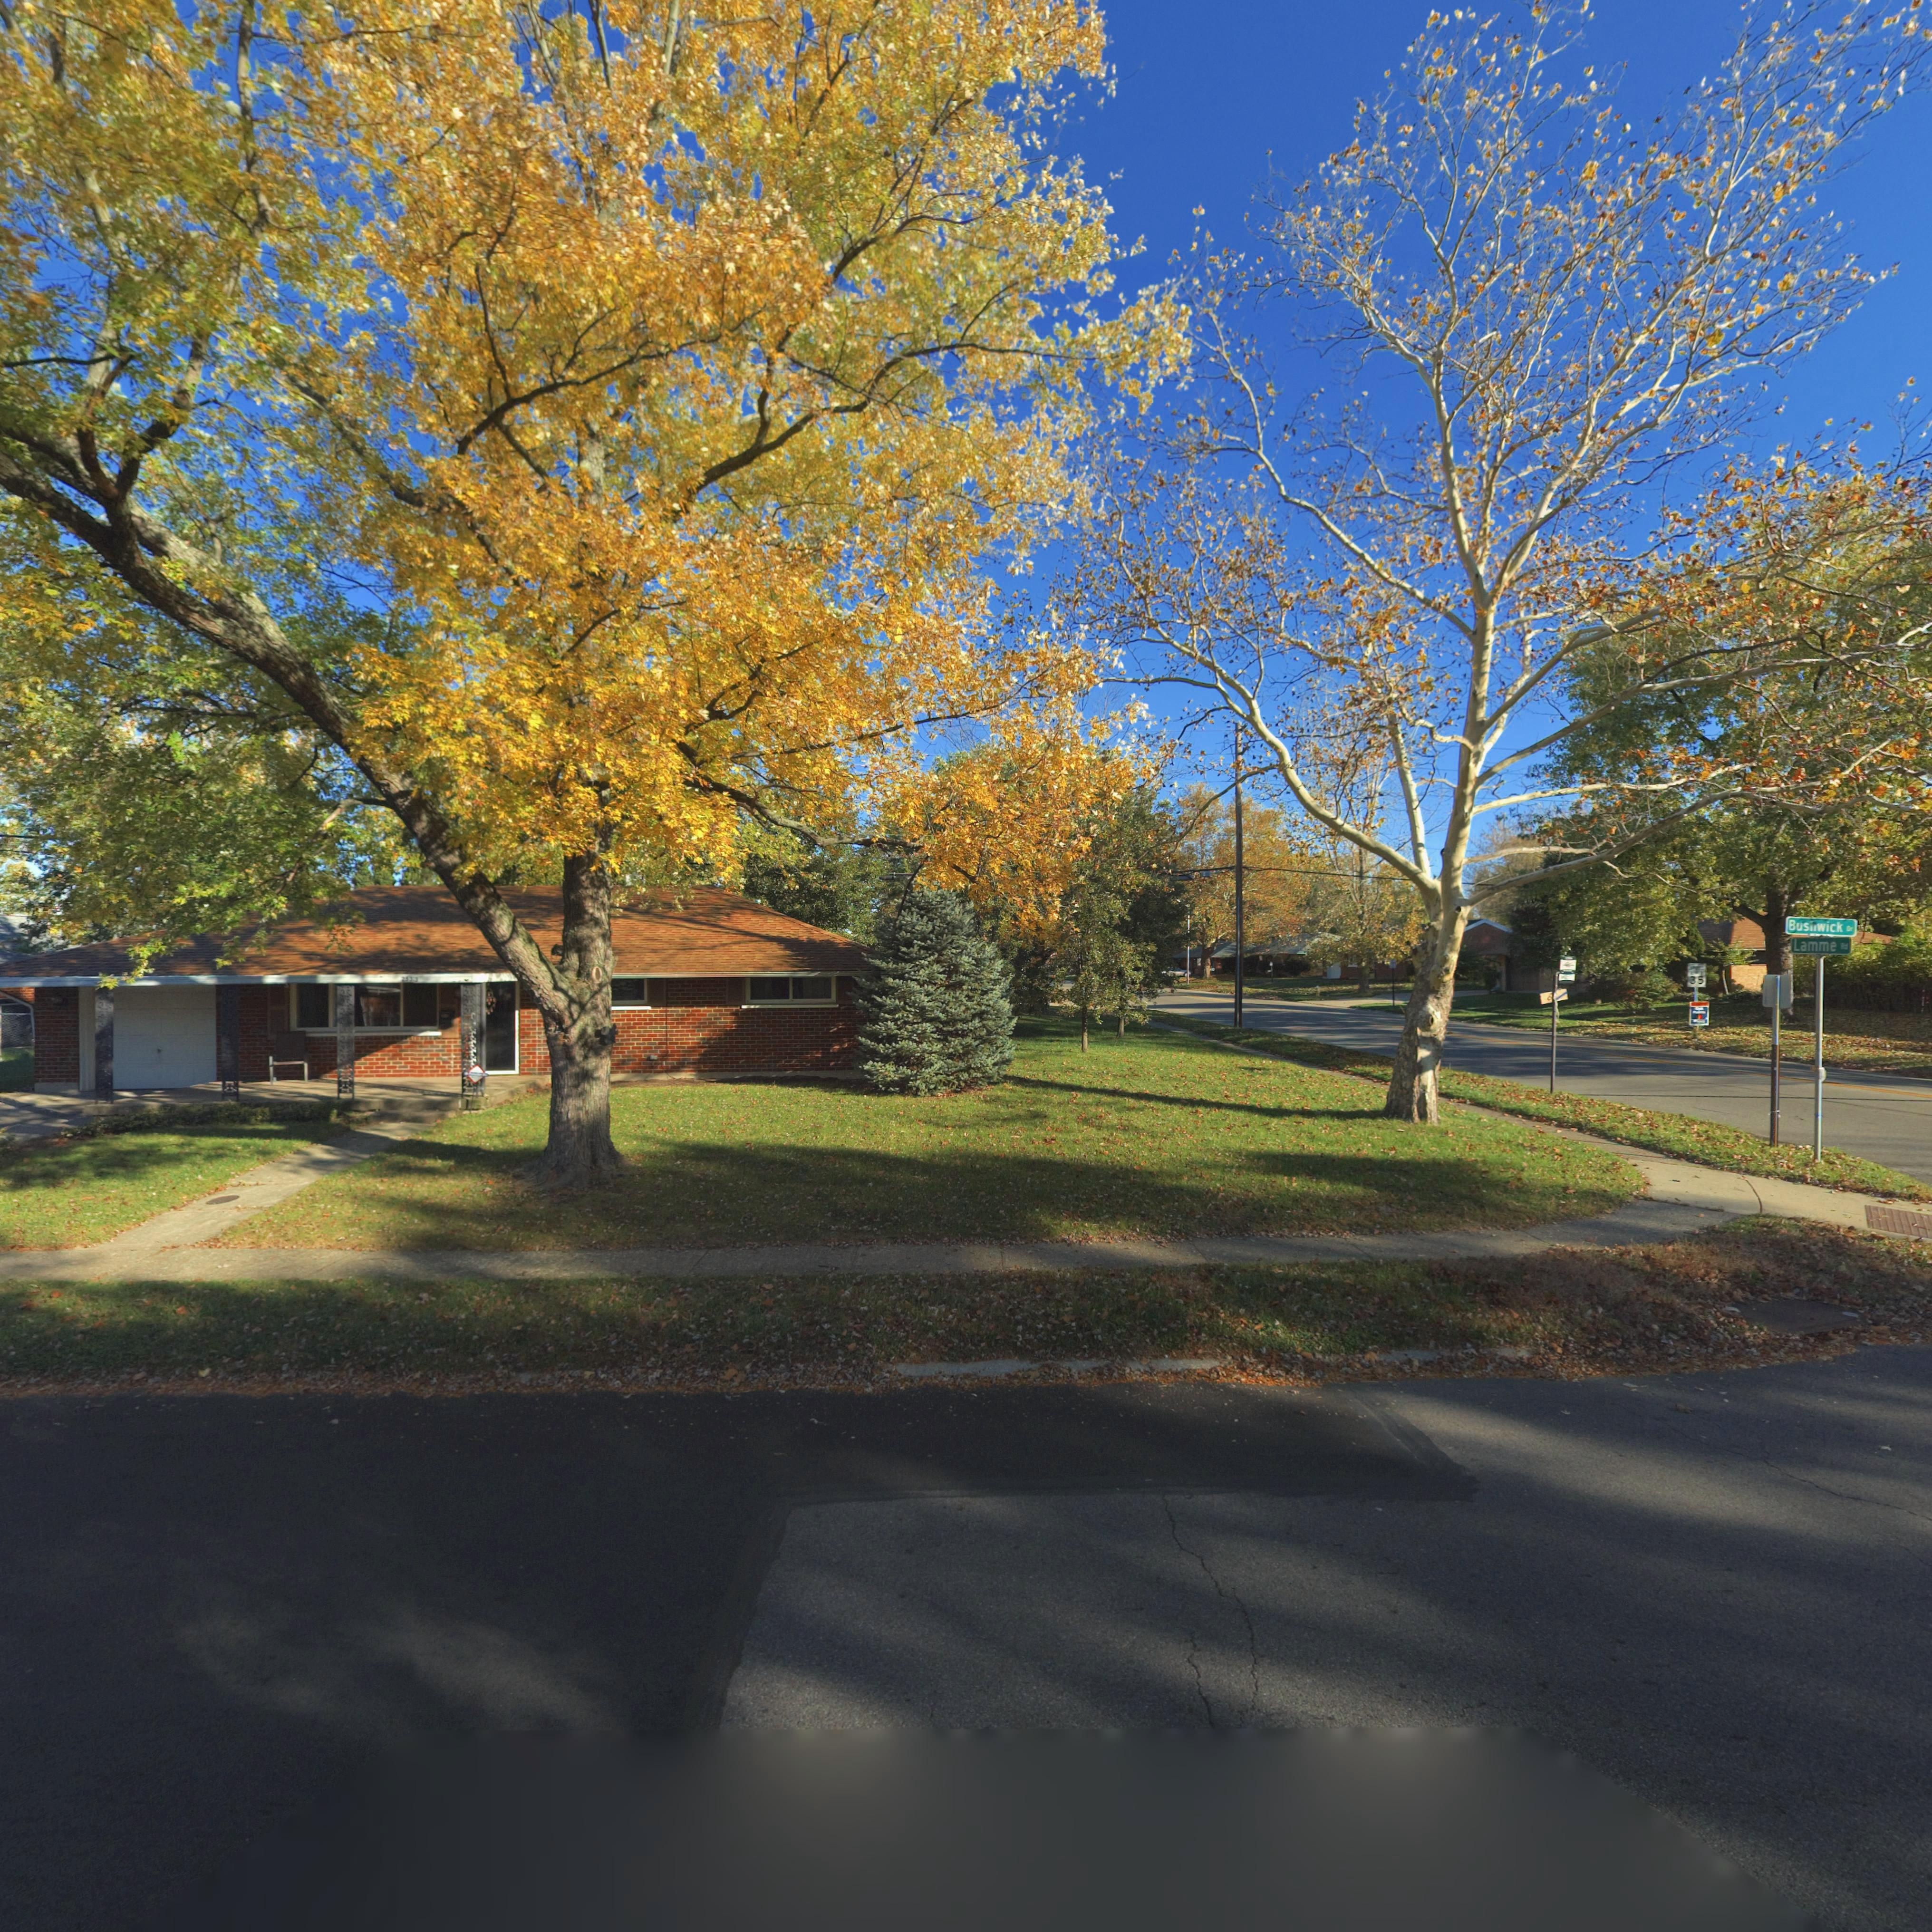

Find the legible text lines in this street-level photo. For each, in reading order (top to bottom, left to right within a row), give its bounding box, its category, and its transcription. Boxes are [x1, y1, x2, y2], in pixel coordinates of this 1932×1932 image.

[400, 976, 419, 982] StreetNumber: 2533